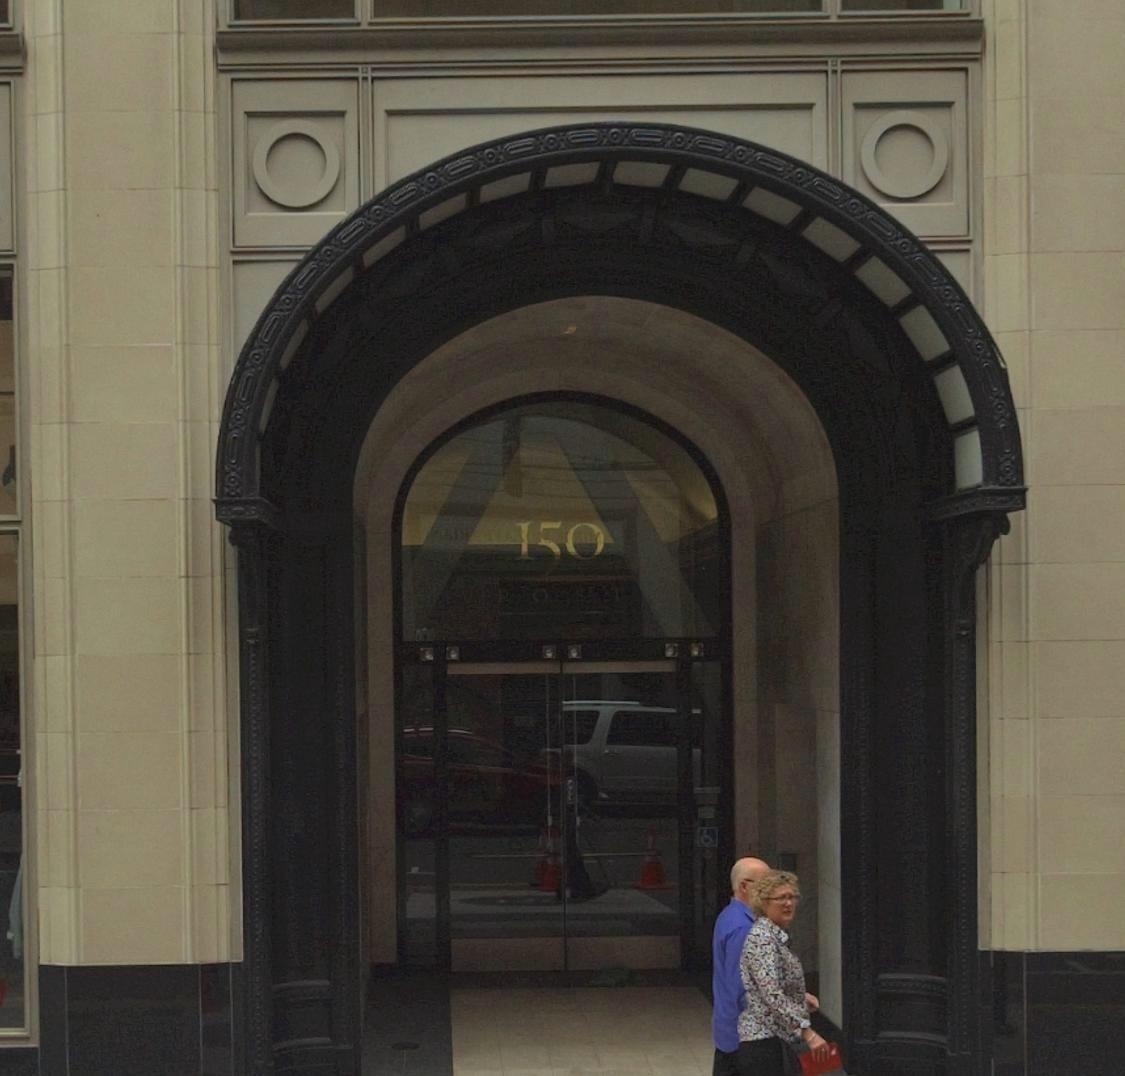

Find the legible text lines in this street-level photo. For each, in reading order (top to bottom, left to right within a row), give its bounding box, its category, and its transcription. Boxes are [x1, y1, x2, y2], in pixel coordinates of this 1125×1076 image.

[510, 517, 610, 583] StreetNumber: 150